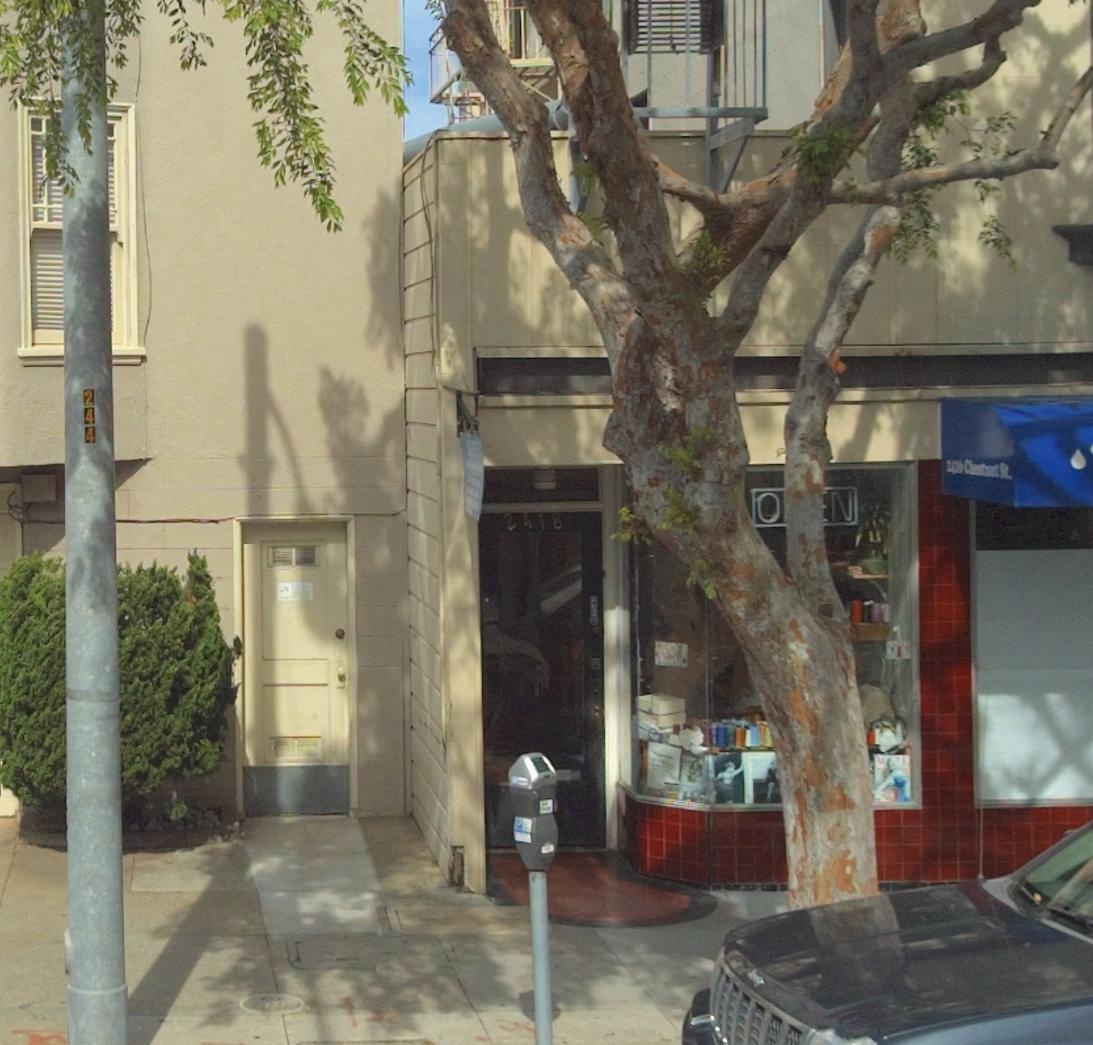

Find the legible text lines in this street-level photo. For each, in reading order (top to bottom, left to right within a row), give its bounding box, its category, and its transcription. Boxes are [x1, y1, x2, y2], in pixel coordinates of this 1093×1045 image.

[83, 388, 96, 444] None: 244
[499, 509, 566, 534] StreetNumber: 2418
[756, 488, 855, 525] None: O**N